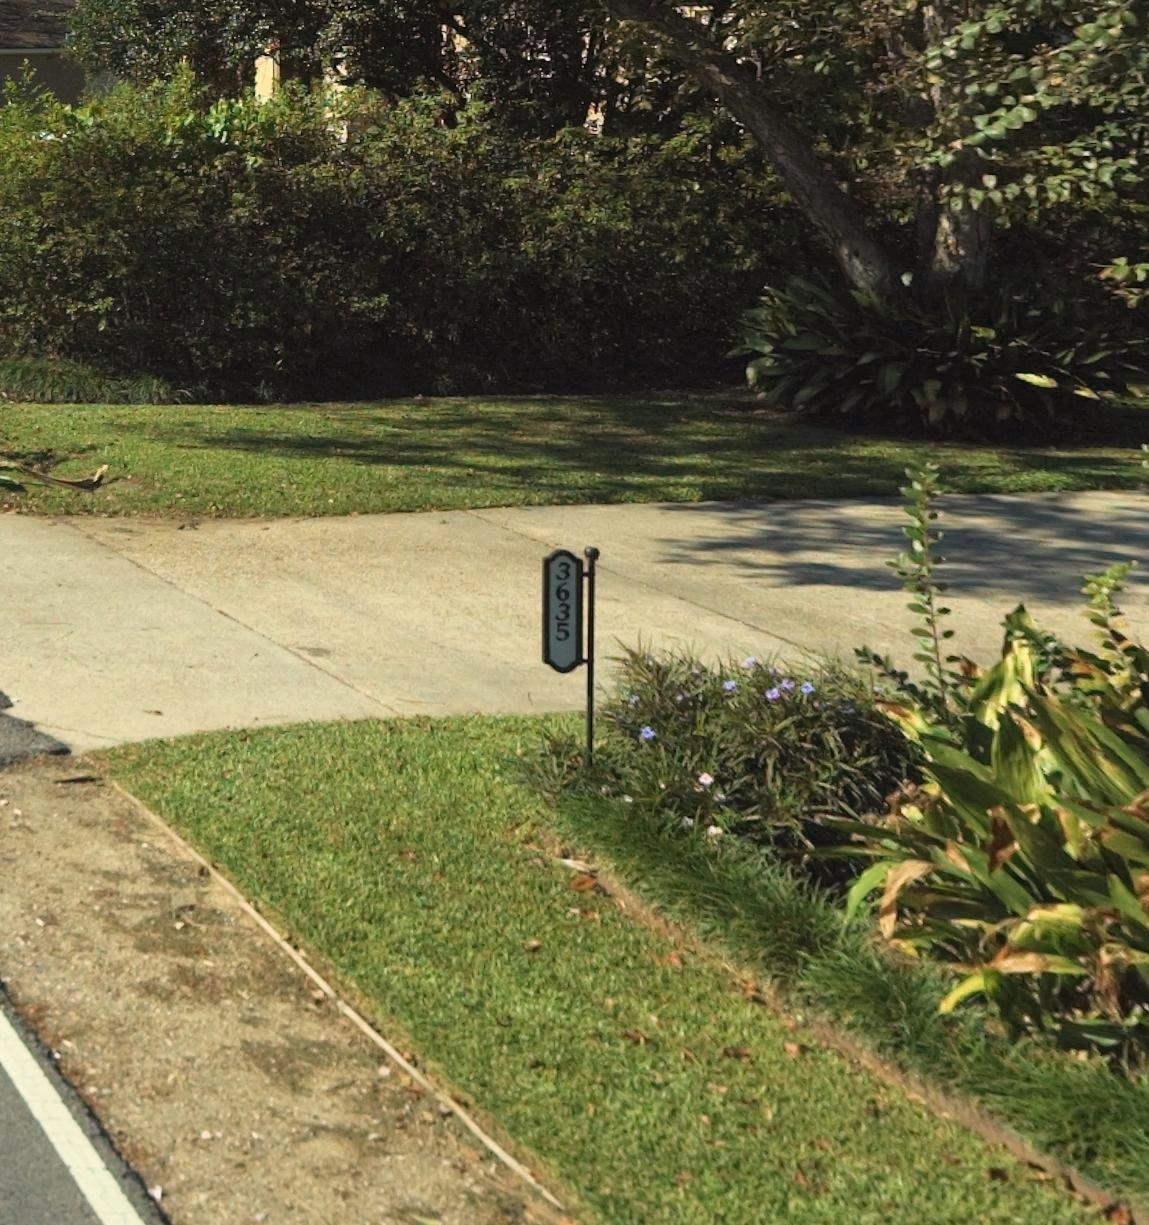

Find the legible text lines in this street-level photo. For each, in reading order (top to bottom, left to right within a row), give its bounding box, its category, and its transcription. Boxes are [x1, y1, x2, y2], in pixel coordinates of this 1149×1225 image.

[553, 560, 572, 643] StreetNumber: 3635